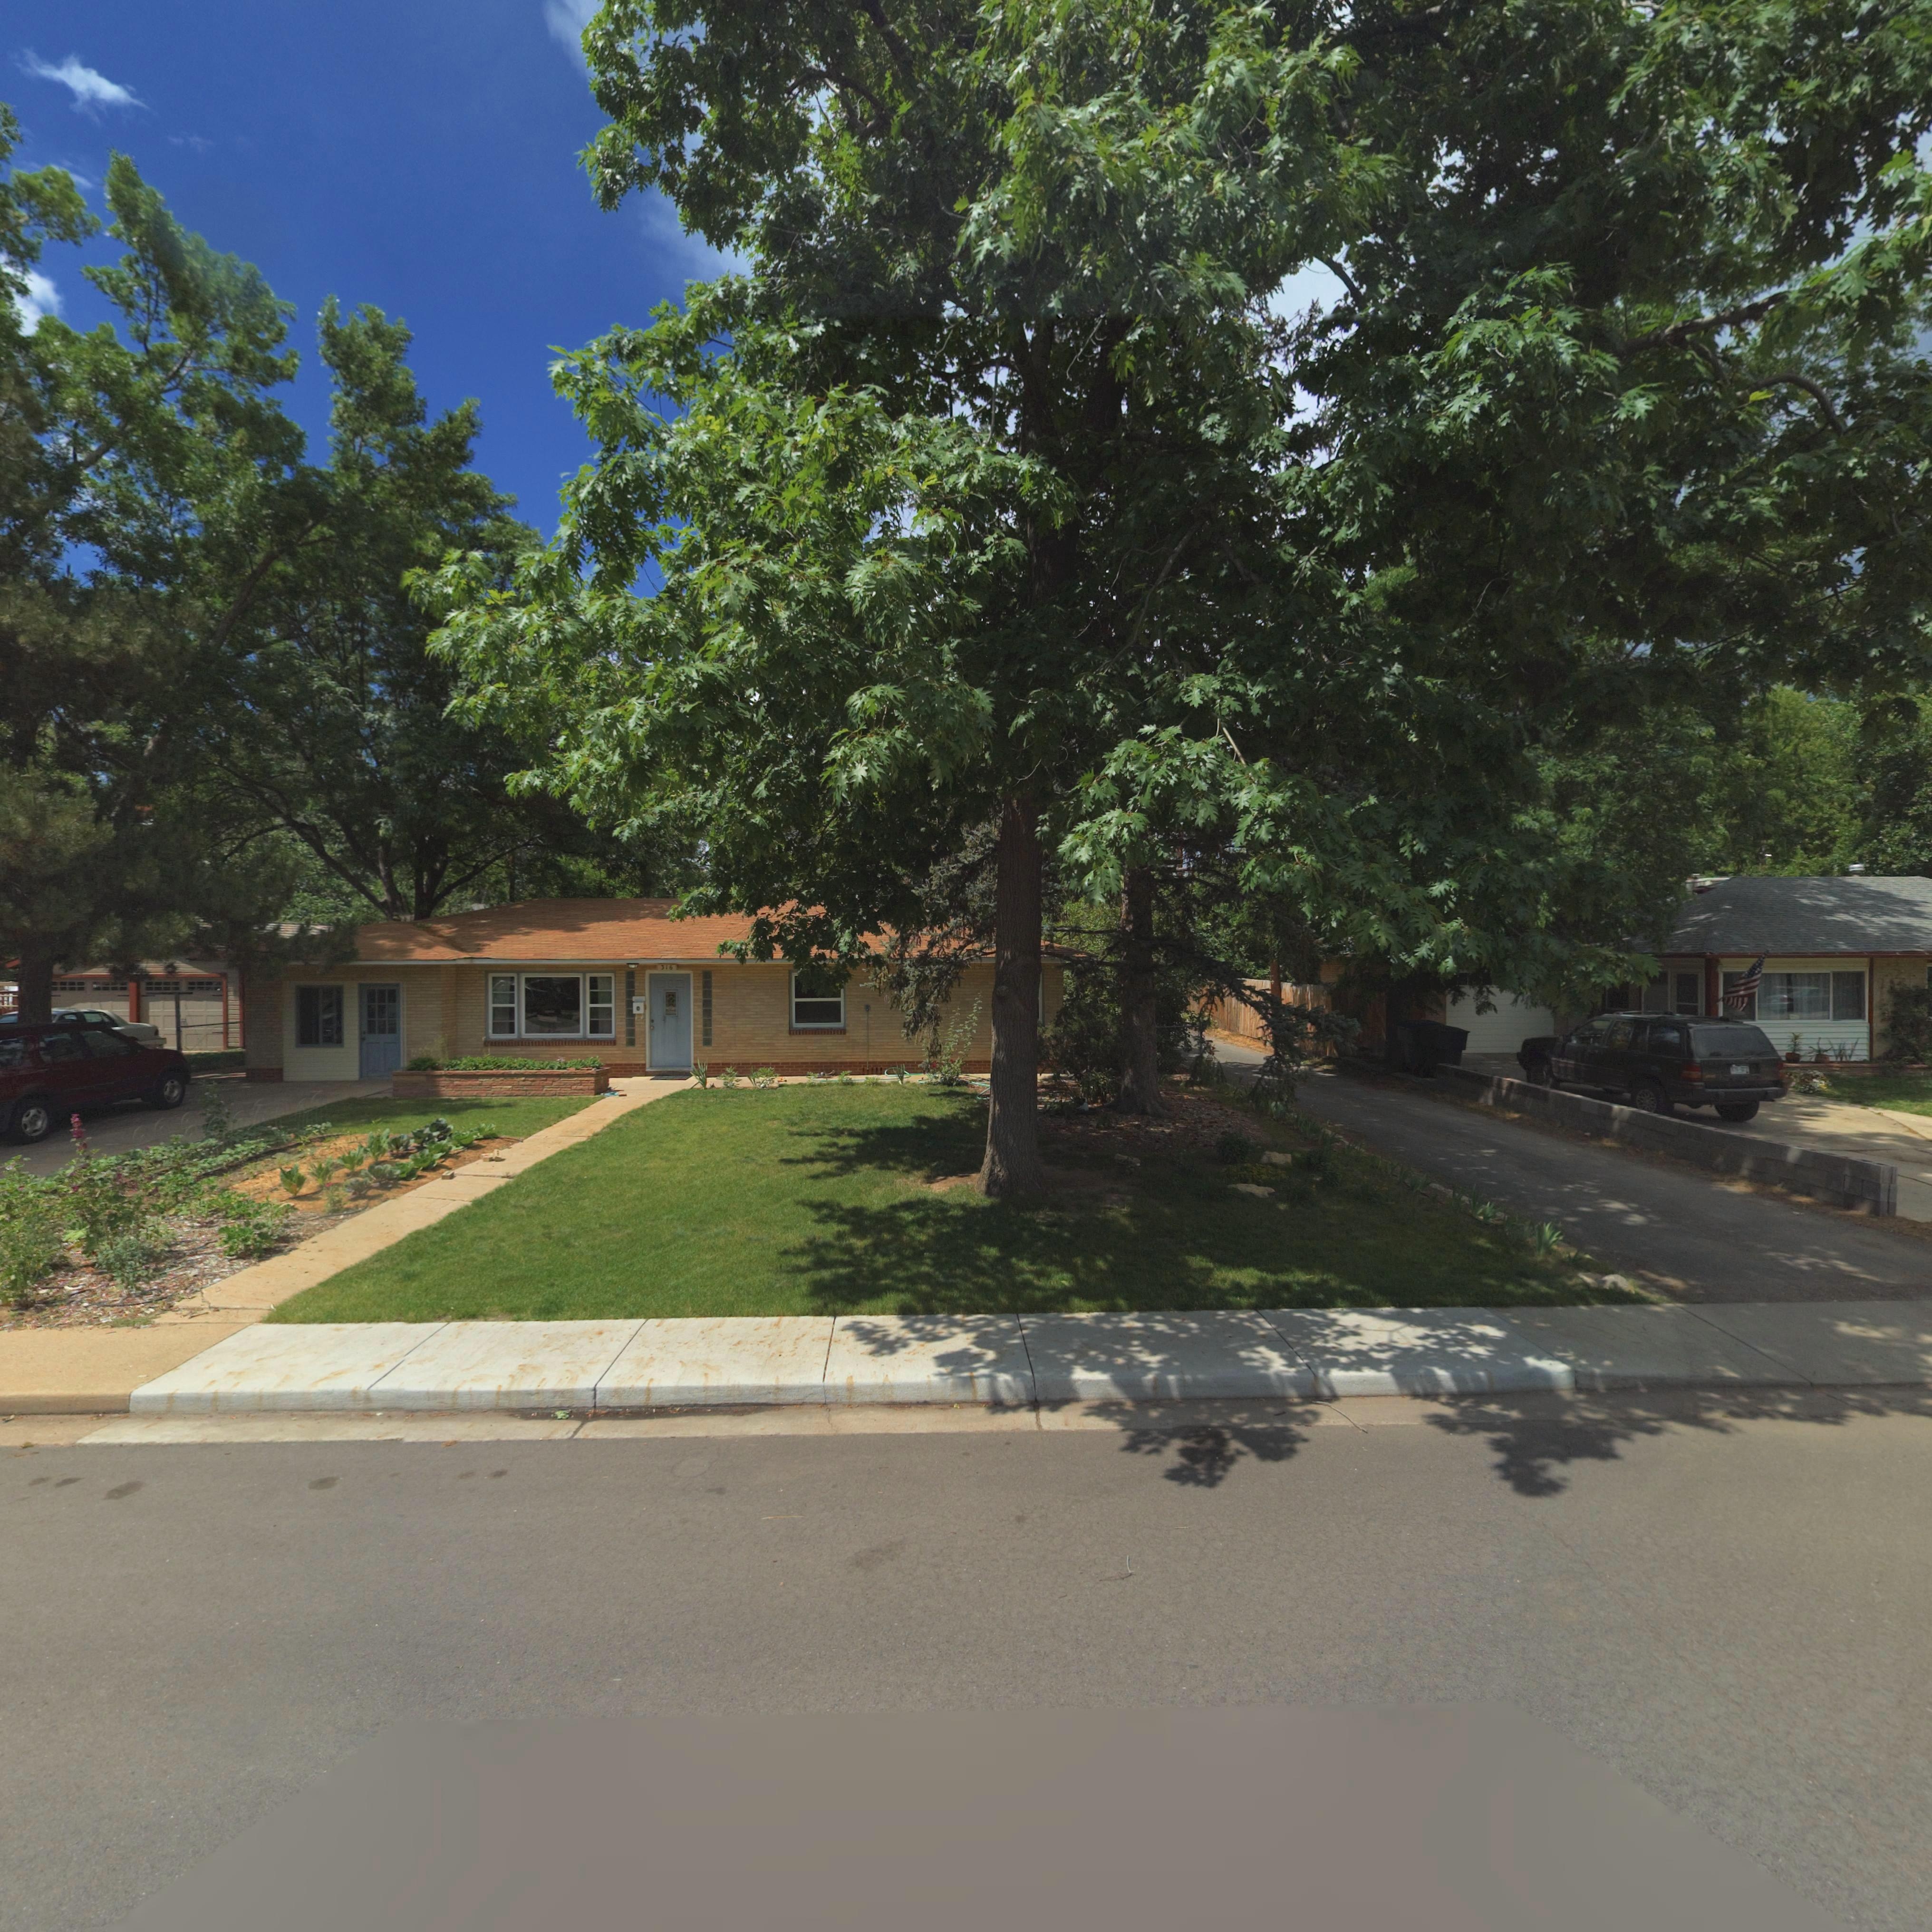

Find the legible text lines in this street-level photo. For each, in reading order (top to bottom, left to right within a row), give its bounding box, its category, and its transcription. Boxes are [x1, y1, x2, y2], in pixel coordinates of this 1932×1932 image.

[660, 964, 673, 970] StreetNumber: 316